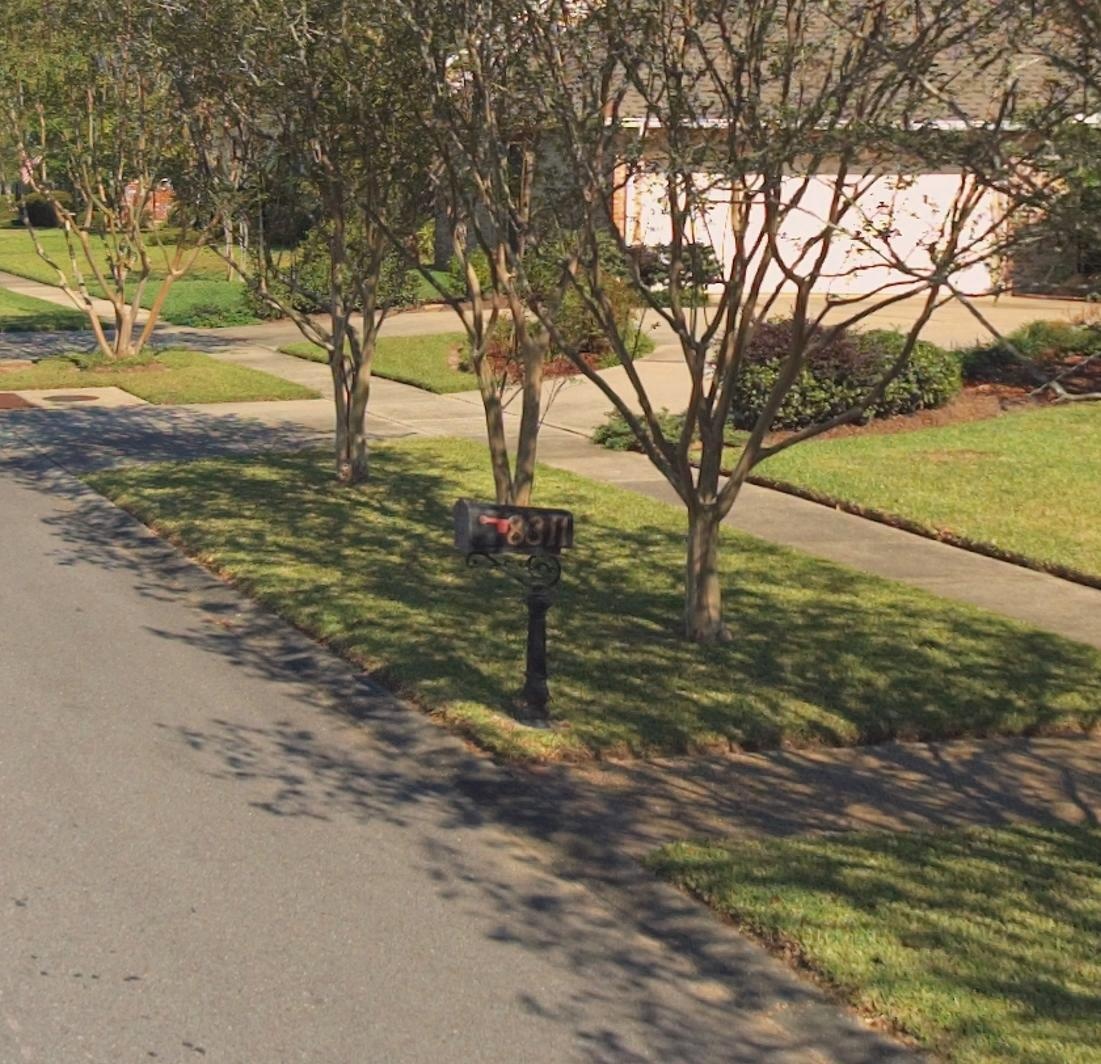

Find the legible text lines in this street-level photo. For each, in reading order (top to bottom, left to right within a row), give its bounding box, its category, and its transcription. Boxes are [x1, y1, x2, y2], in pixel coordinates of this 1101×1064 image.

[504, 513, 570, 547] StreetNumber: 8311